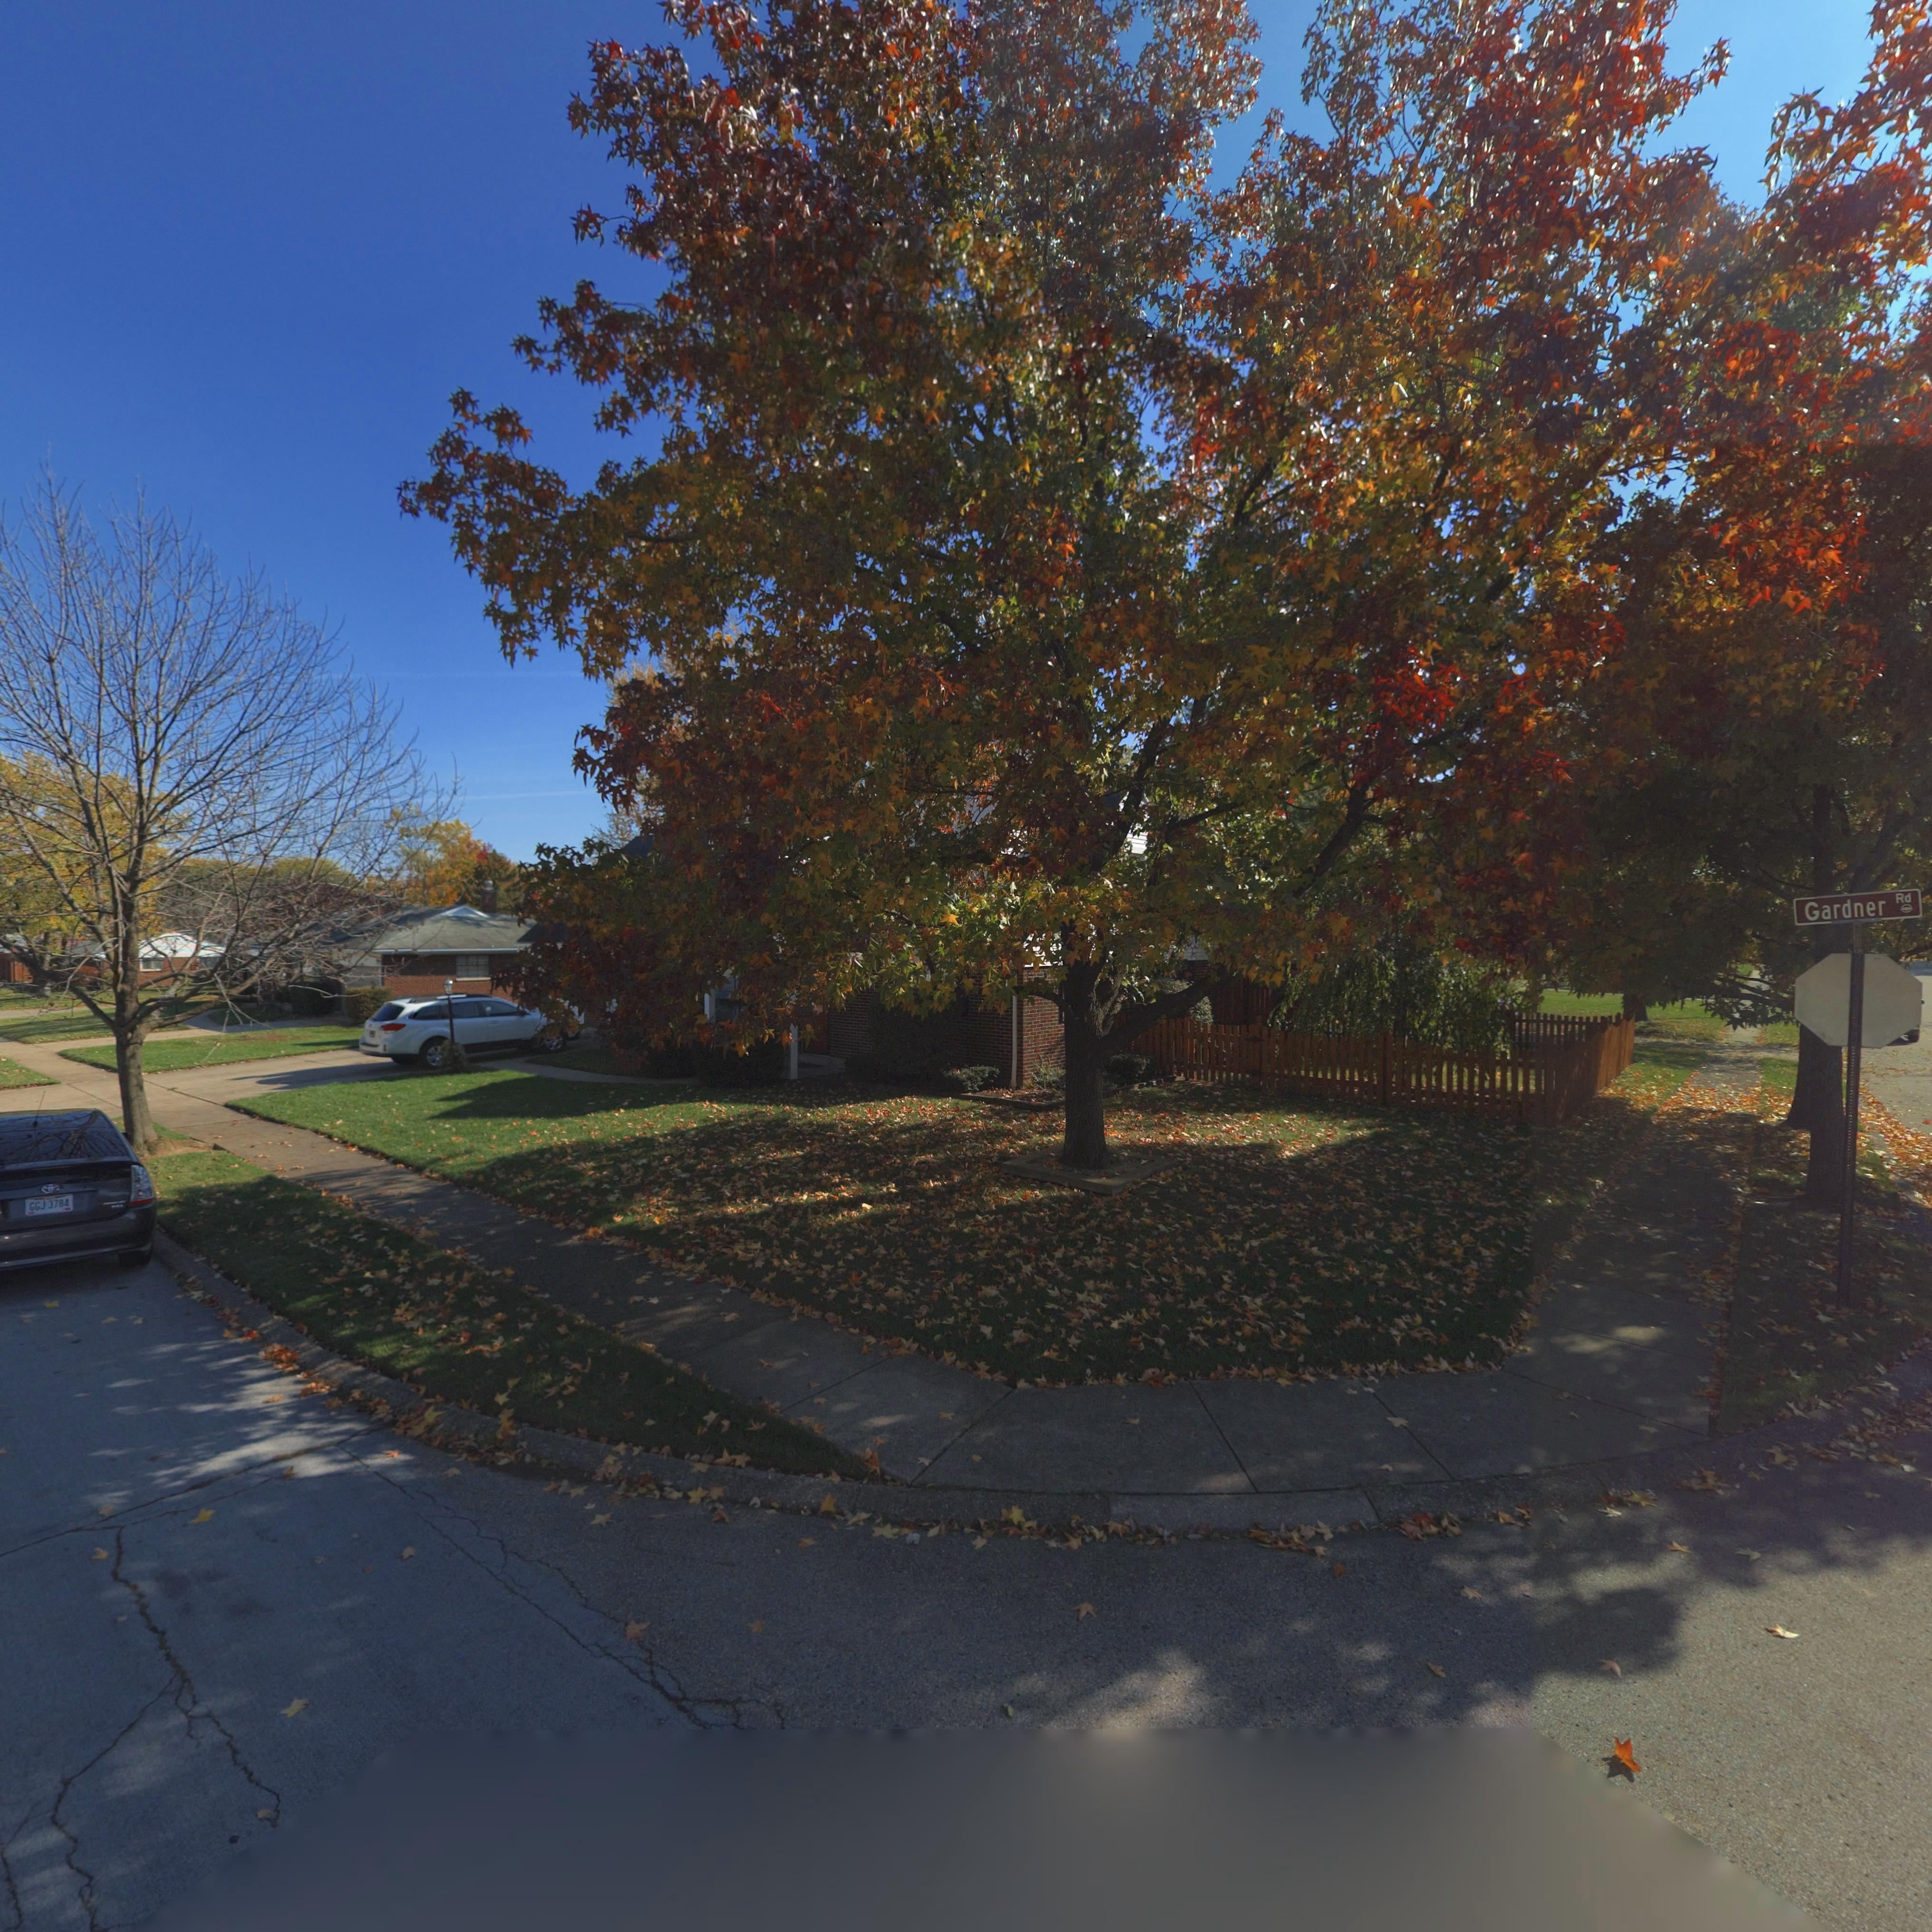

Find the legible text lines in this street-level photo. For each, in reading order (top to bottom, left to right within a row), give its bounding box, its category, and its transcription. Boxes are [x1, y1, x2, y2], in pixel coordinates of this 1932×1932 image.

[1804, 891, 1913, 923] StreetName: Gardner Rd
[28, 1197, 70, 1212] None: GGJ 3784